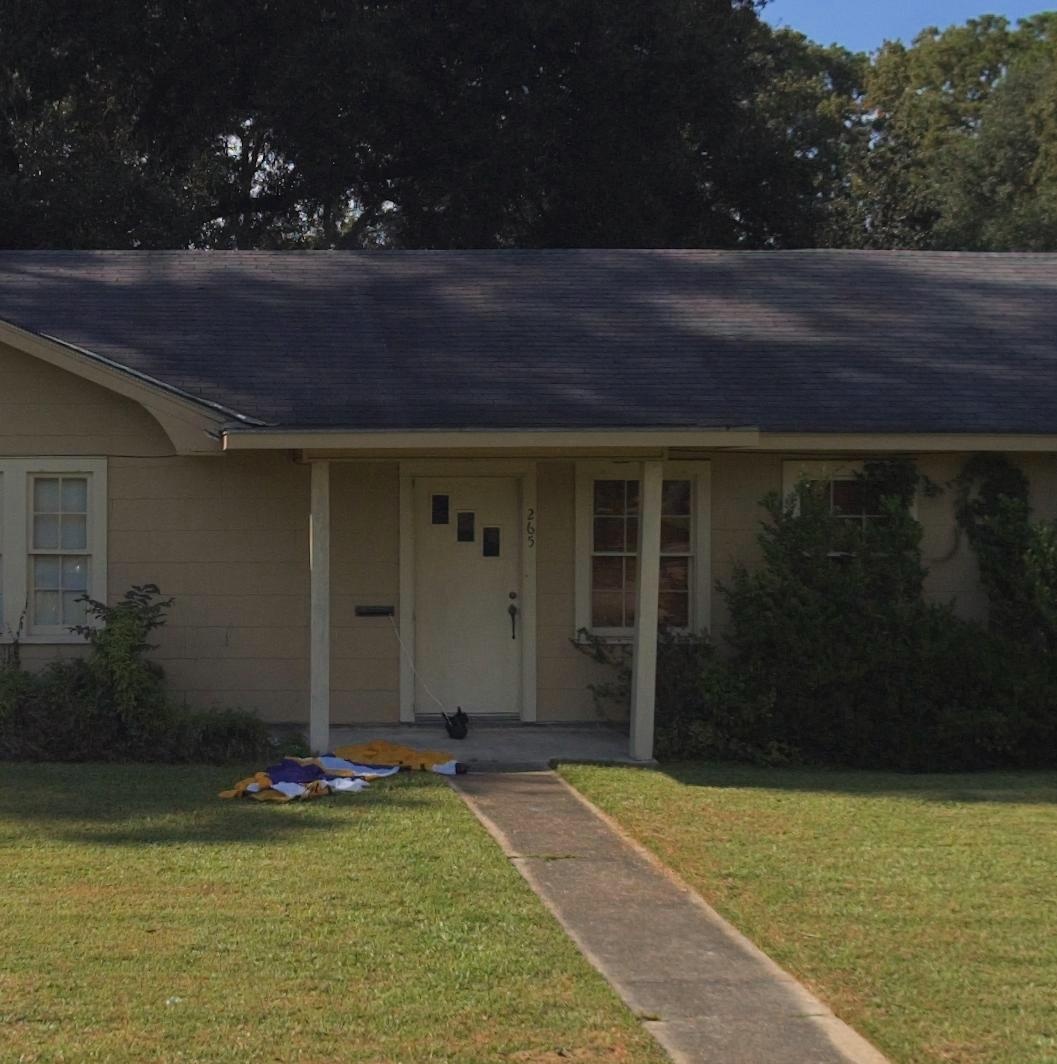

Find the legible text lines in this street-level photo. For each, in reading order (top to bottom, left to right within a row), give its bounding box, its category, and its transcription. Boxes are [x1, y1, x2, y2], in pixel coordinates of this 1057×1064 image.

[526, 508, 535, 548] StreetNumber: 265